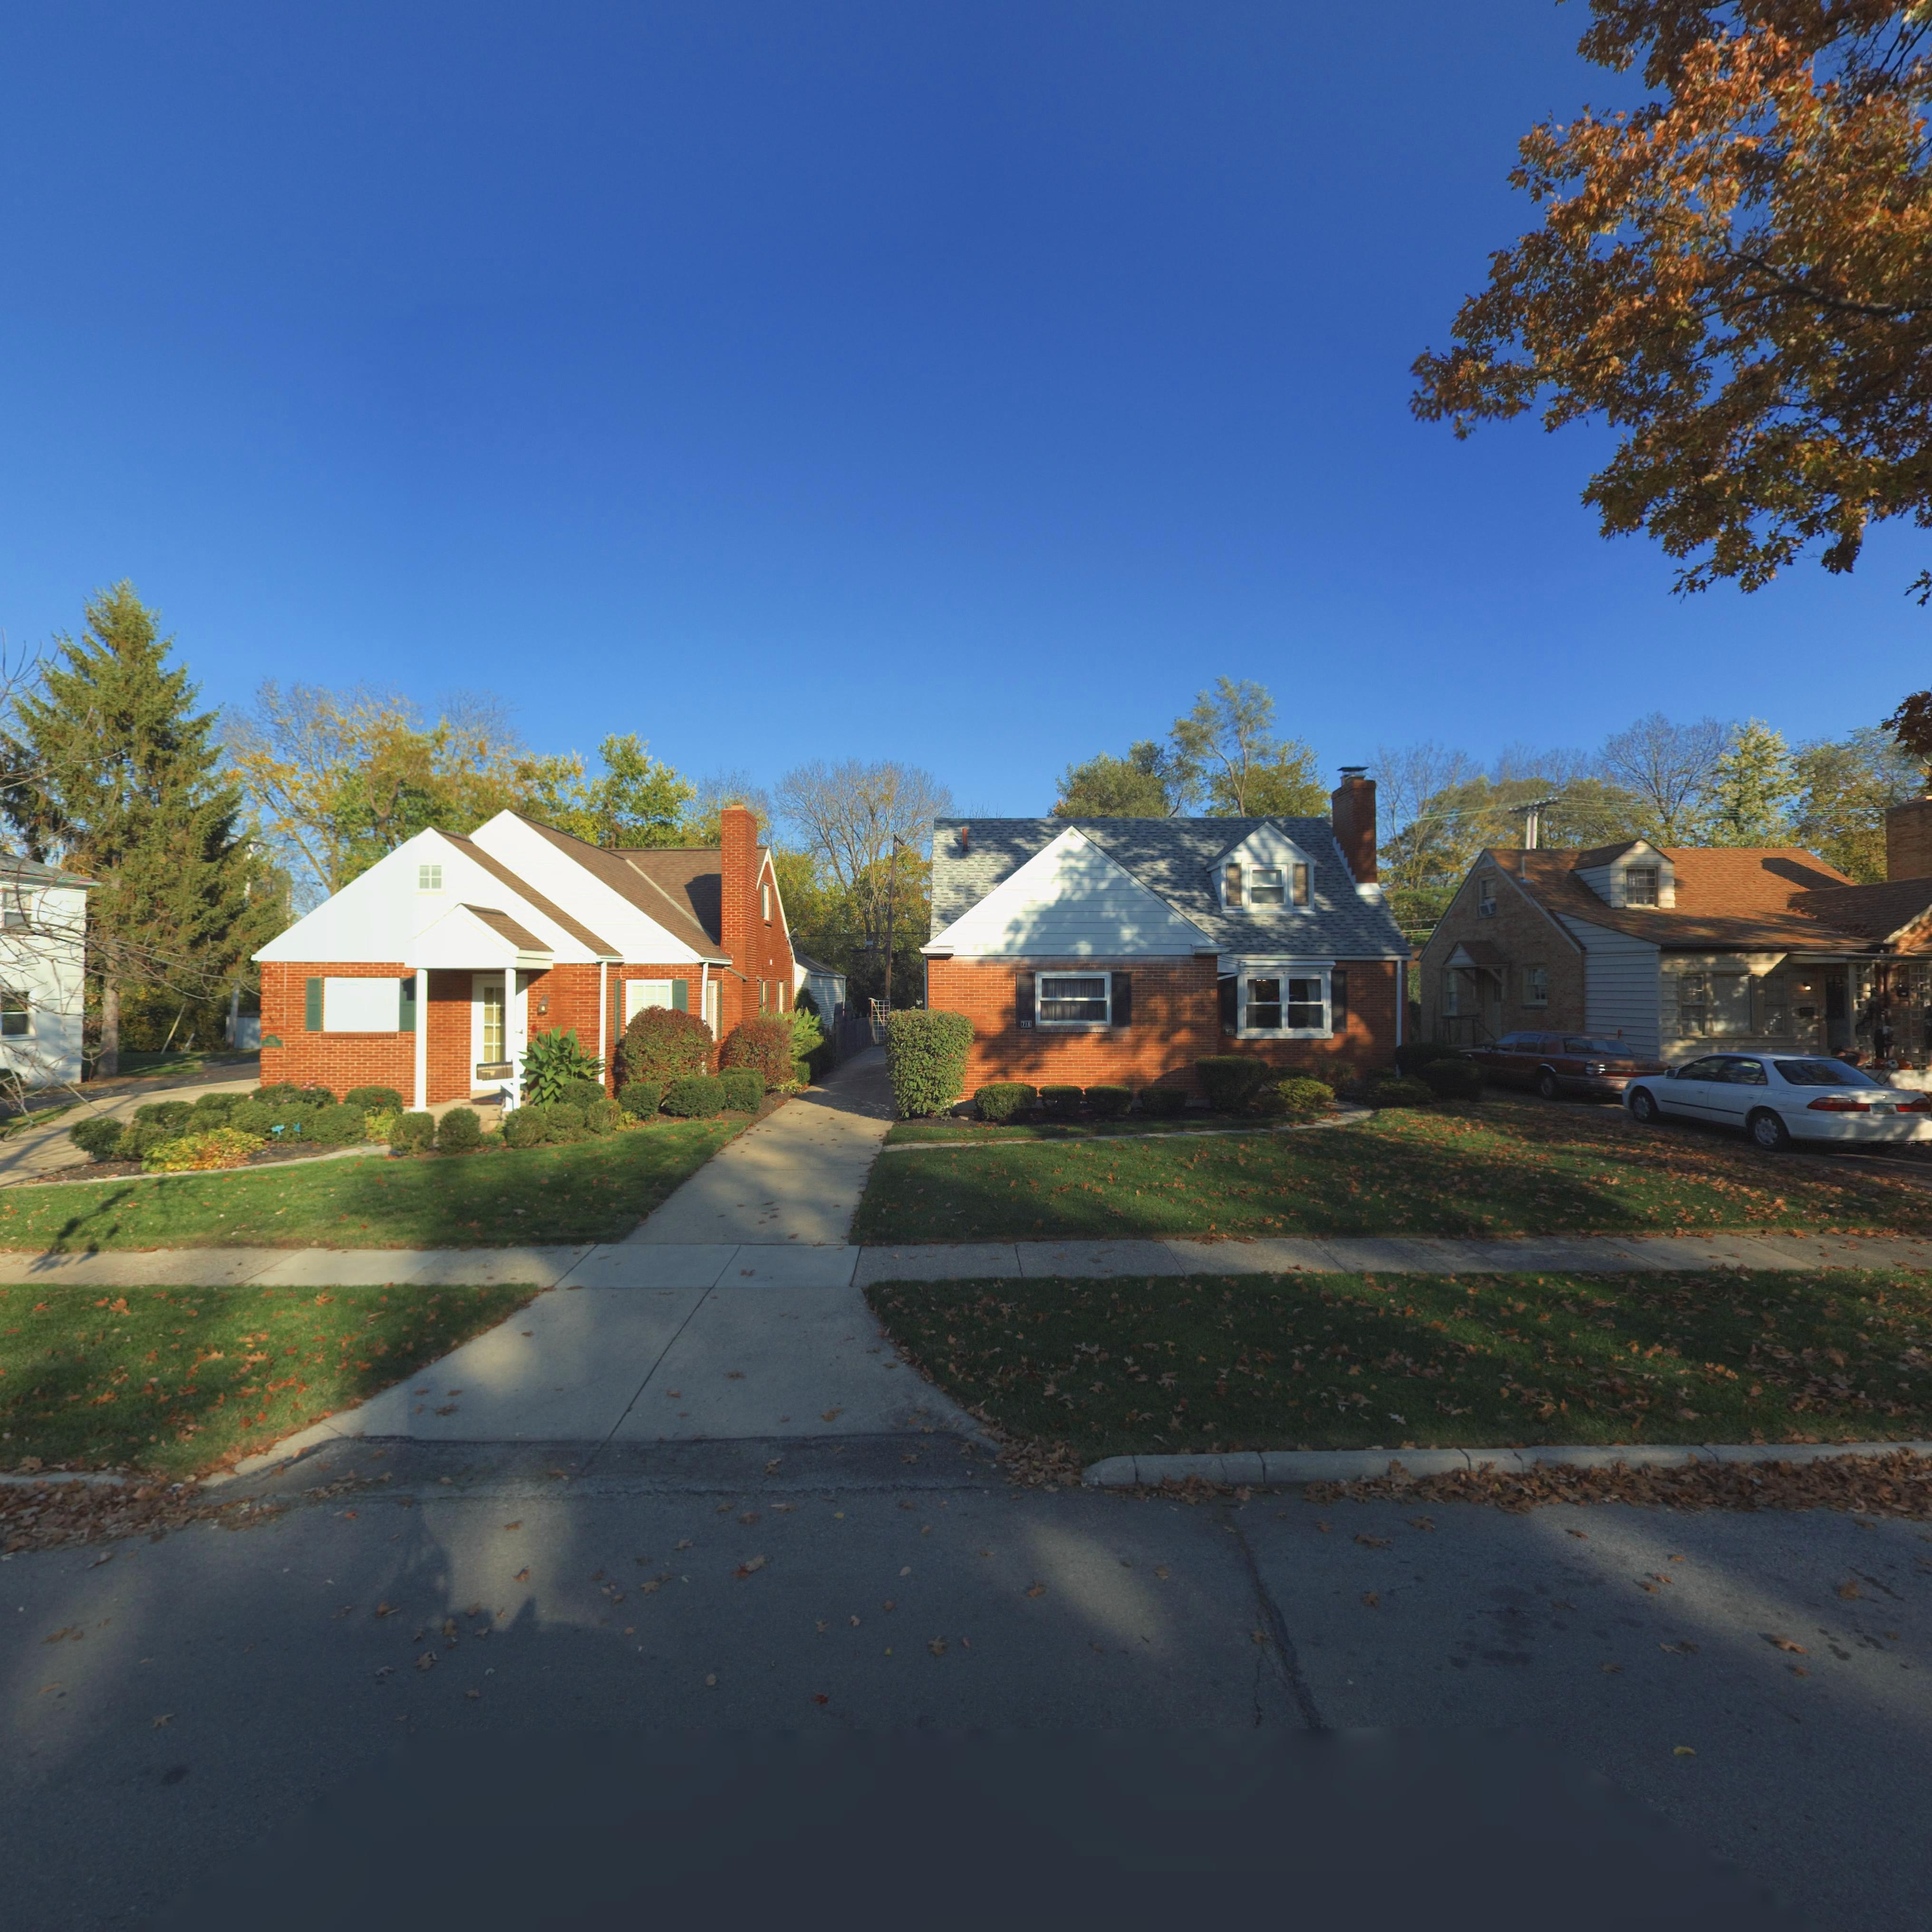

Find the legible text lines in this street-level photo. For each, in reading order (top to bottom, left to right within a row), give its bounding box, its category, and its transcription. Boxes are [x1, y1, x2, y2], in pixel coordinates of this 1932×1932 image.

[1021, 1022, 1031, 1027] StreetNumber: 716
[1226, 1029, 1234, 1034] StreetNumber: 716